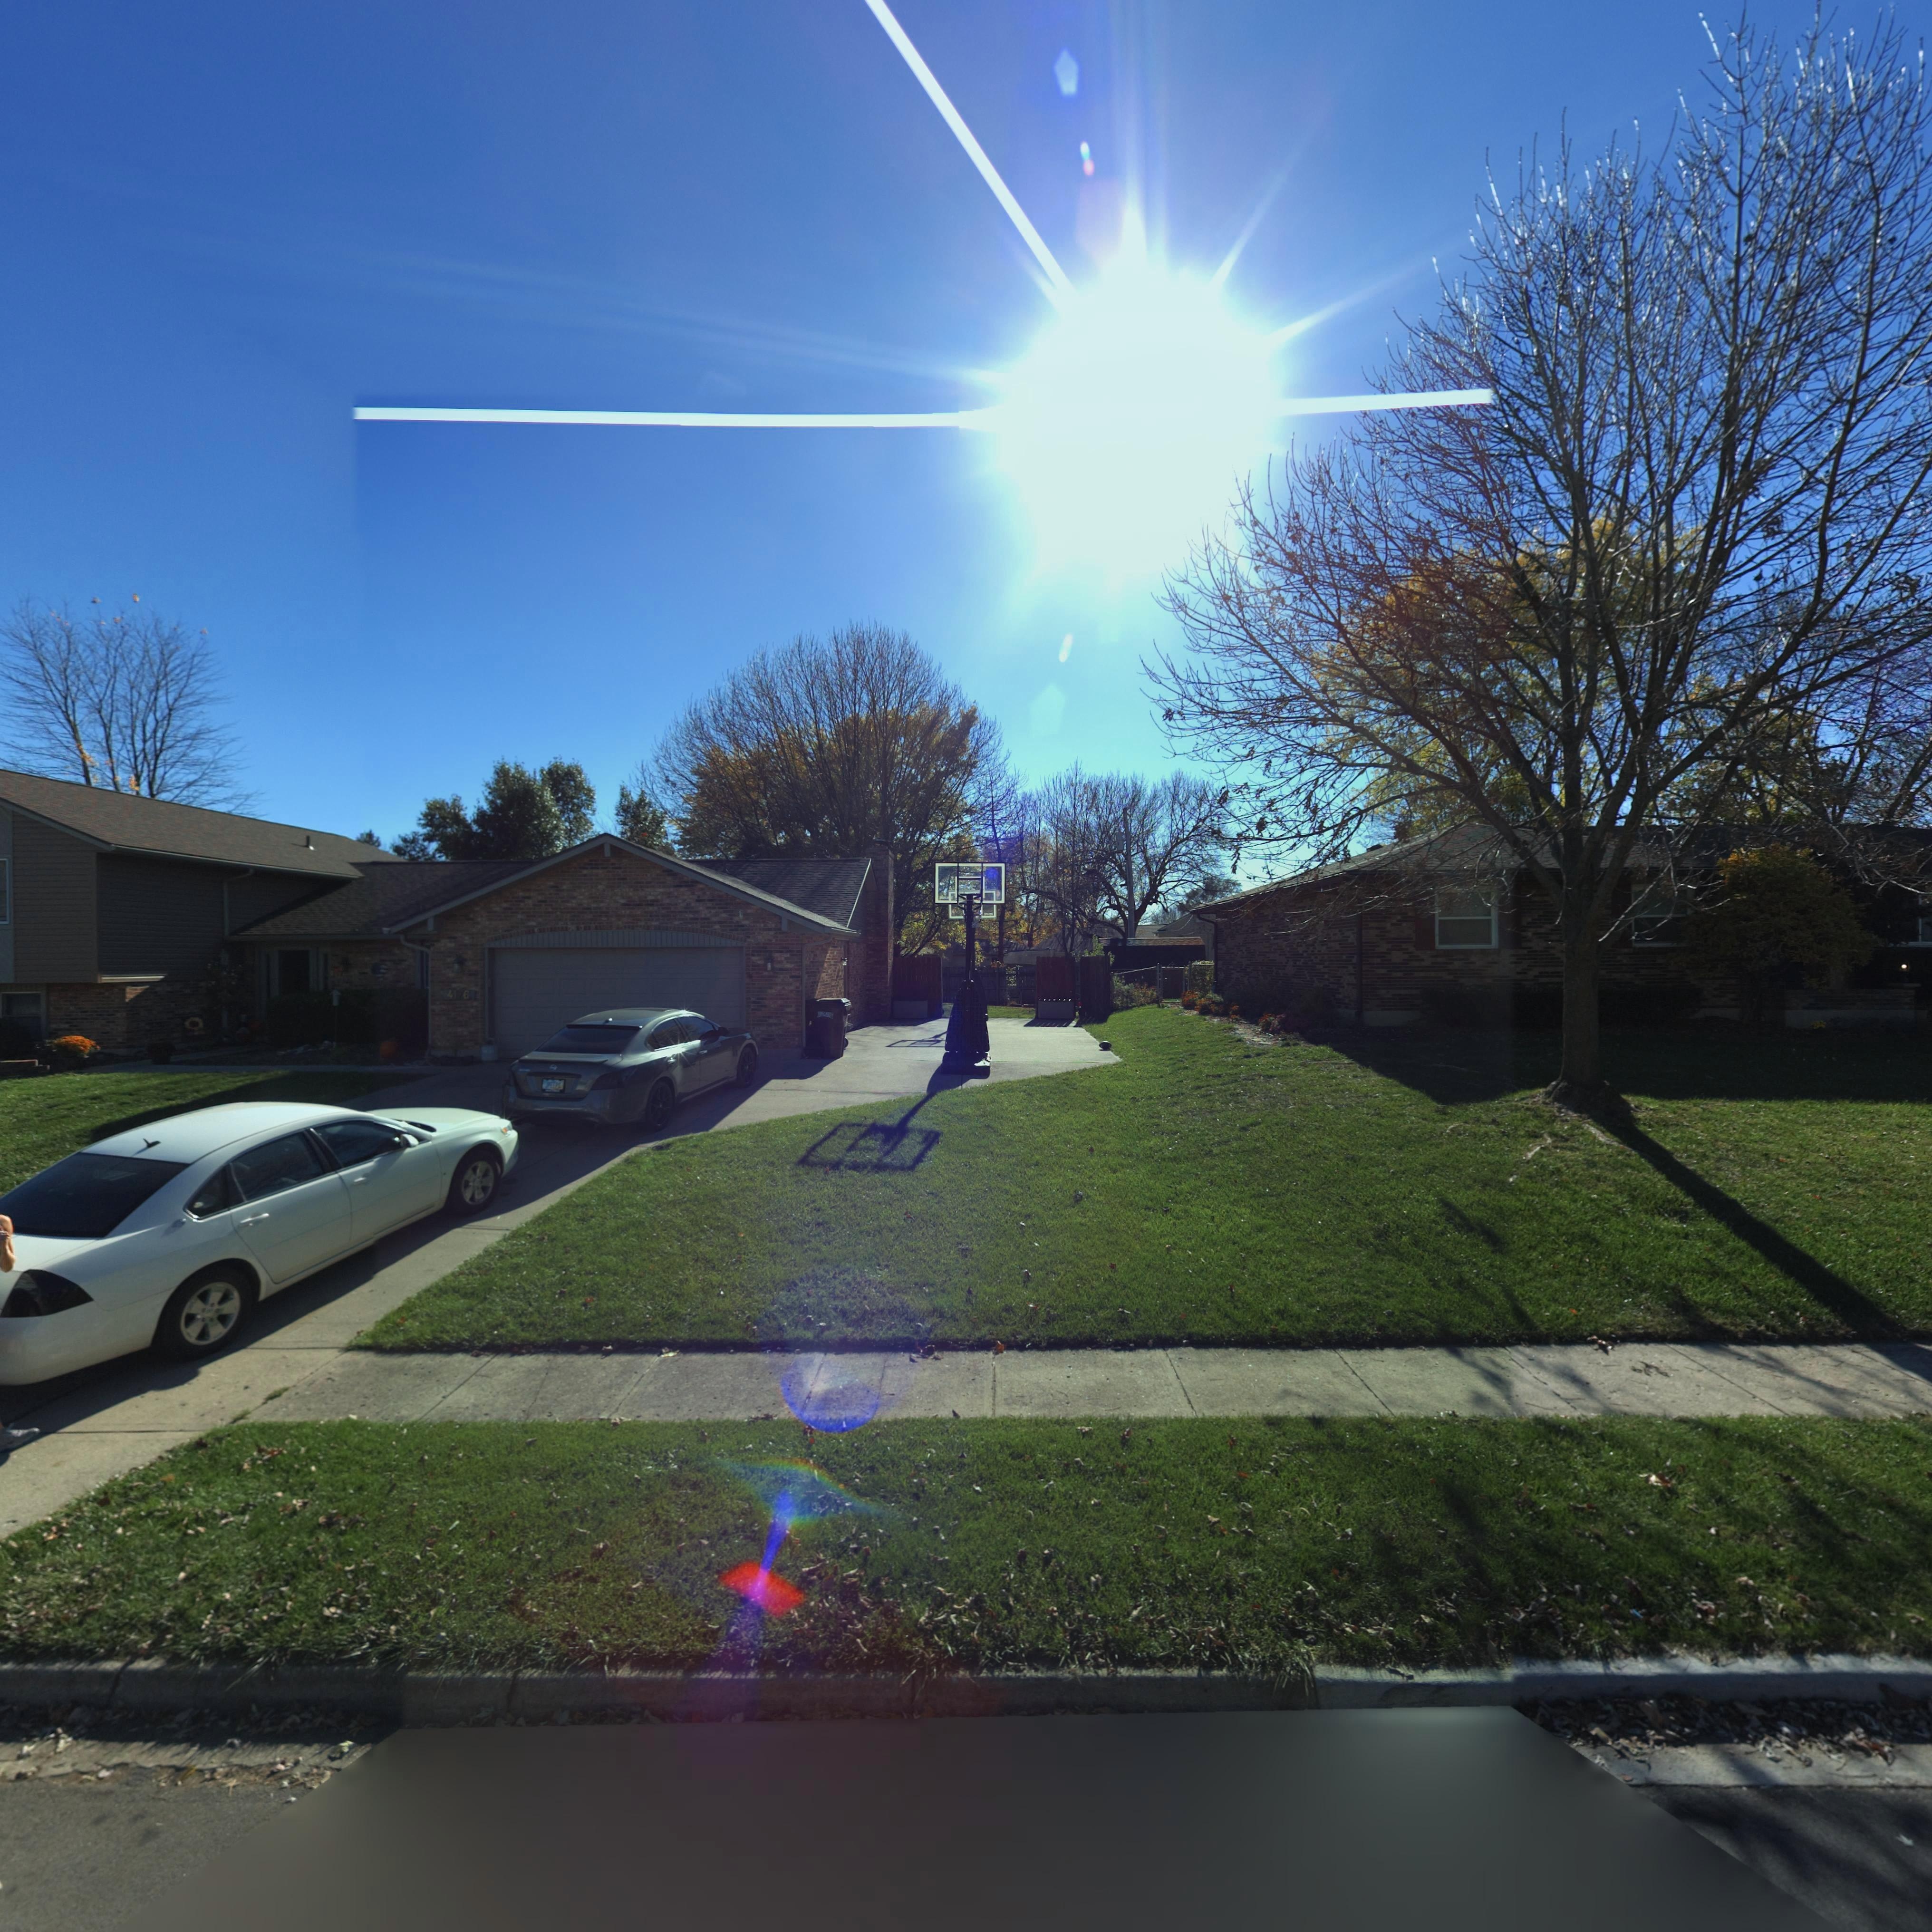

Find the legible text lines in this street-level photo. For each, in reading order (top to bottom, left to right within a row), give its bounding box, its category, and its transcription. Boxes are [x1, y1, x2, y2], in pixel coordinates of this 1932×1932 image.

[445, 989, 471, 1000] StreetNumber: 41*6
[543, 1082, 562, 1090] None: JPEEP*